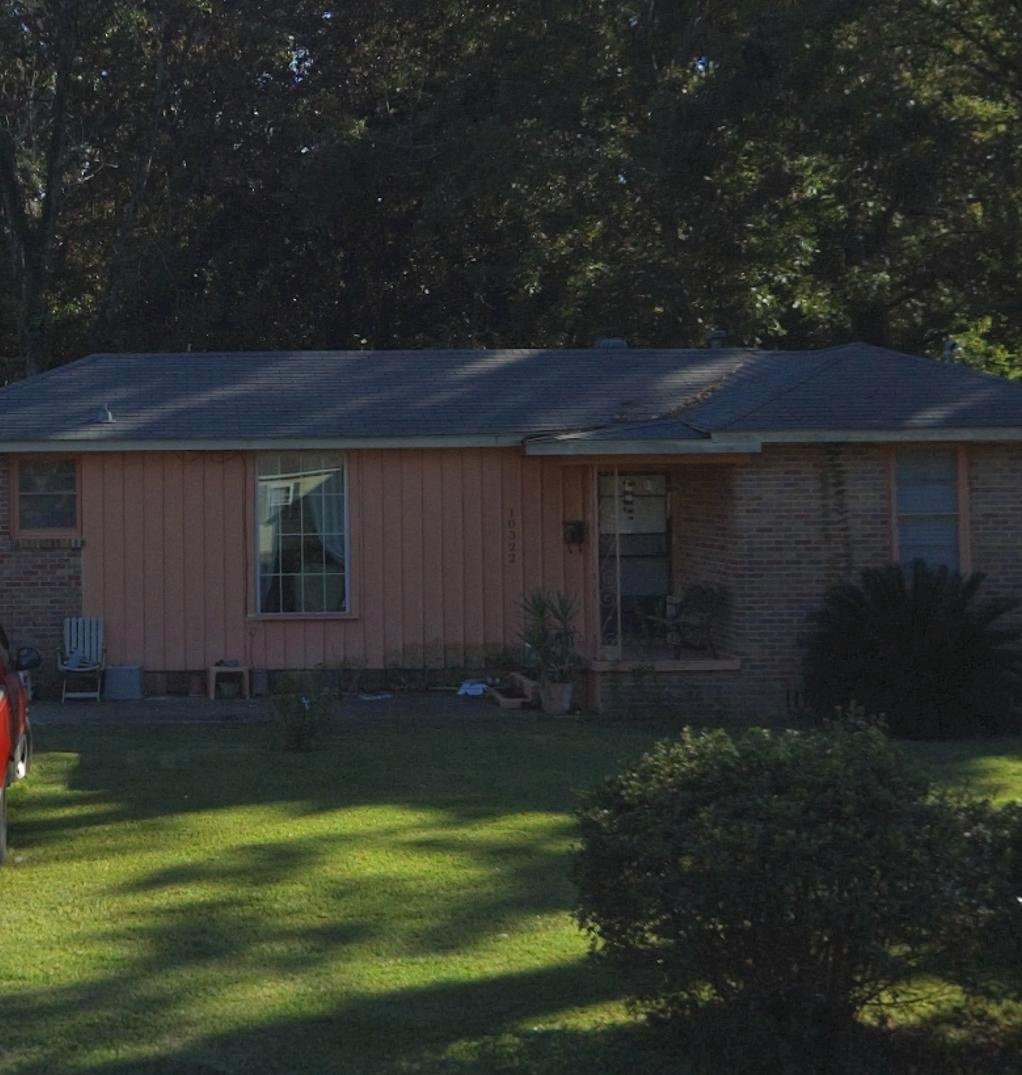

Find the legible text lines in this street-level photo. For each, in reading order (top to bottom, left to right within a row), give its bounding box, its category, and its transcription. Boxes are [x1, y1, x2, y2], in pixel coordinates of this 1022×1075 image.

[507, 507, 517, 564] StreetNumber: 10322